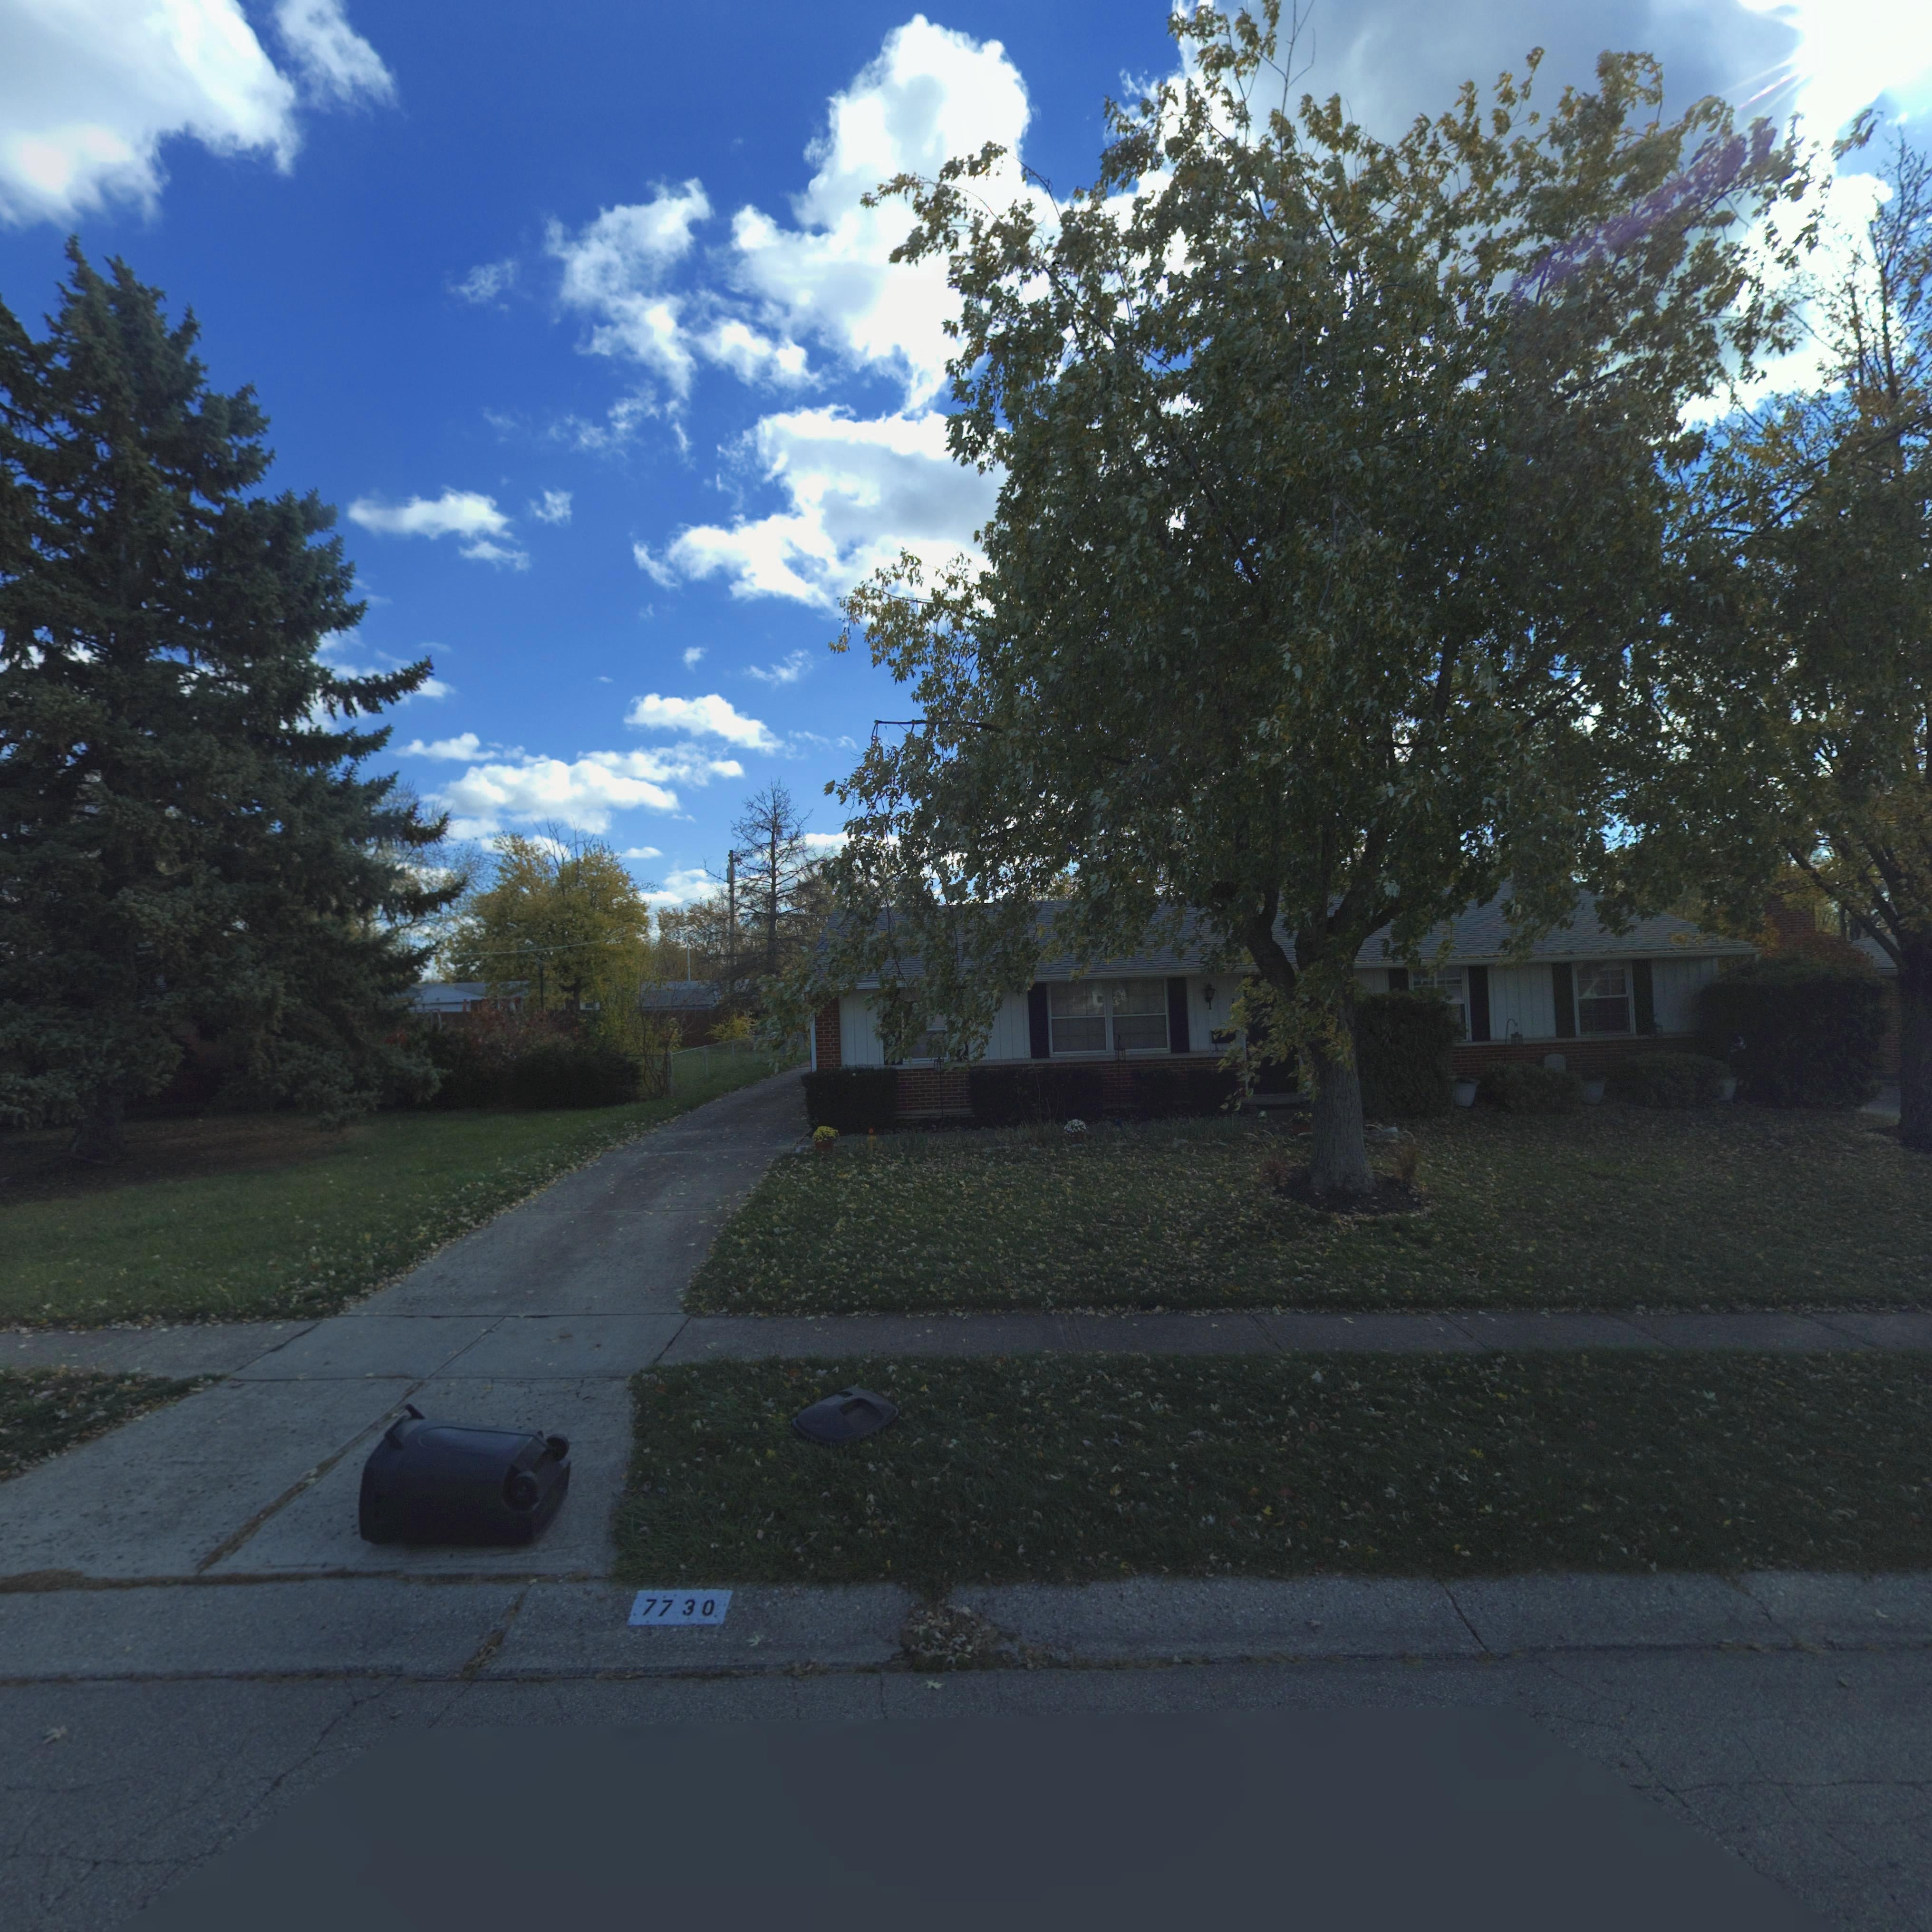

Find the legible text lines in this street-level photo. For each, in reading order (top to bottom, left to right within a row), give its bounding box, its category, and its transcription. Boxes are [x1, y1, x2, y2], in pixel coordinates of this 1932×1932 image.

[640, 1598, 716, 1617] StreetNumber: 7730